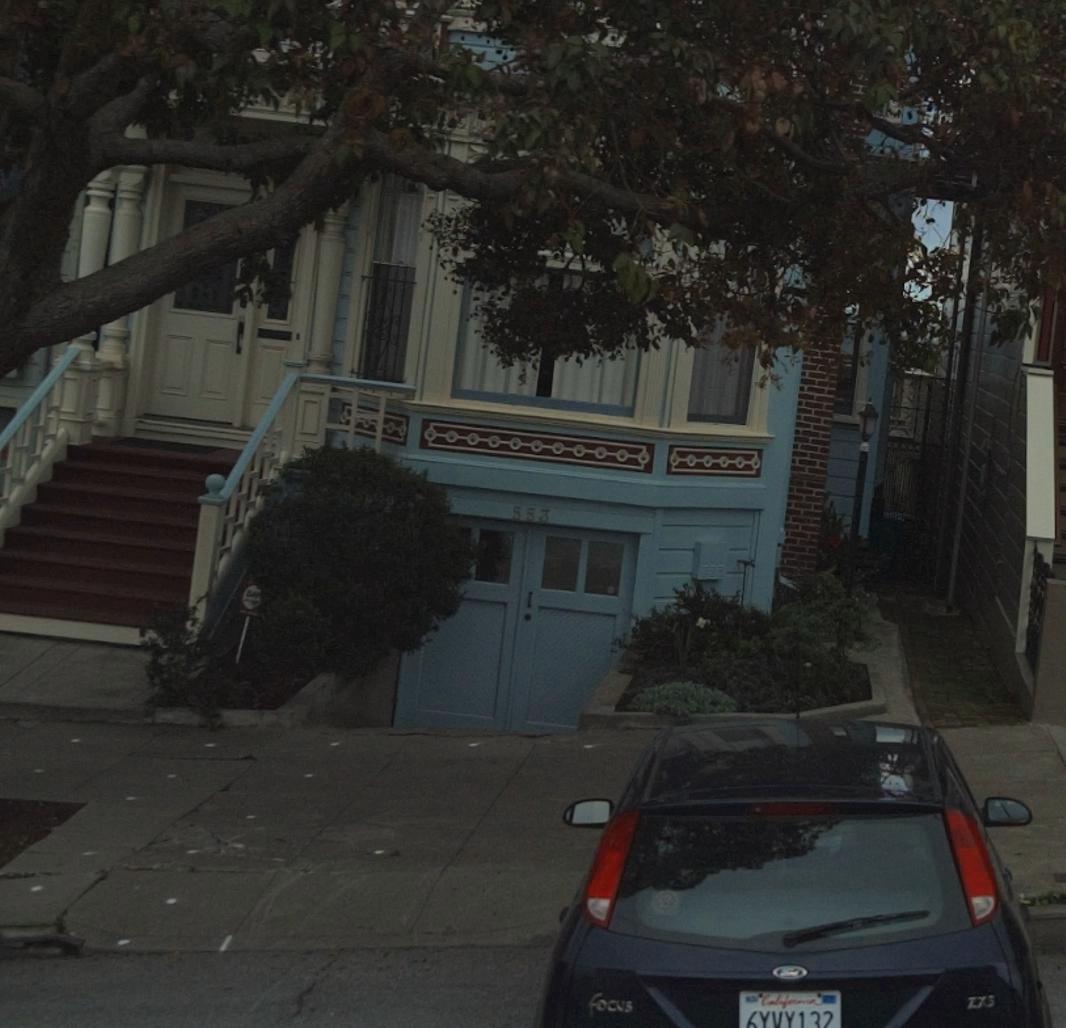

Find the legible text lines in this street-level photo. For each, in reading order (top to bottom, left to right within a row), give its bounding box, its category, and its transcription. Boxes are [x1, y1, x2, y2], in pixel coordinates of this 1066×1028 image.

[511, 505, 551, 523] StreetNumber: 553
[584, 988, 635, 1017] None: focus
[966, 994, 996, 1011] None: ZX3